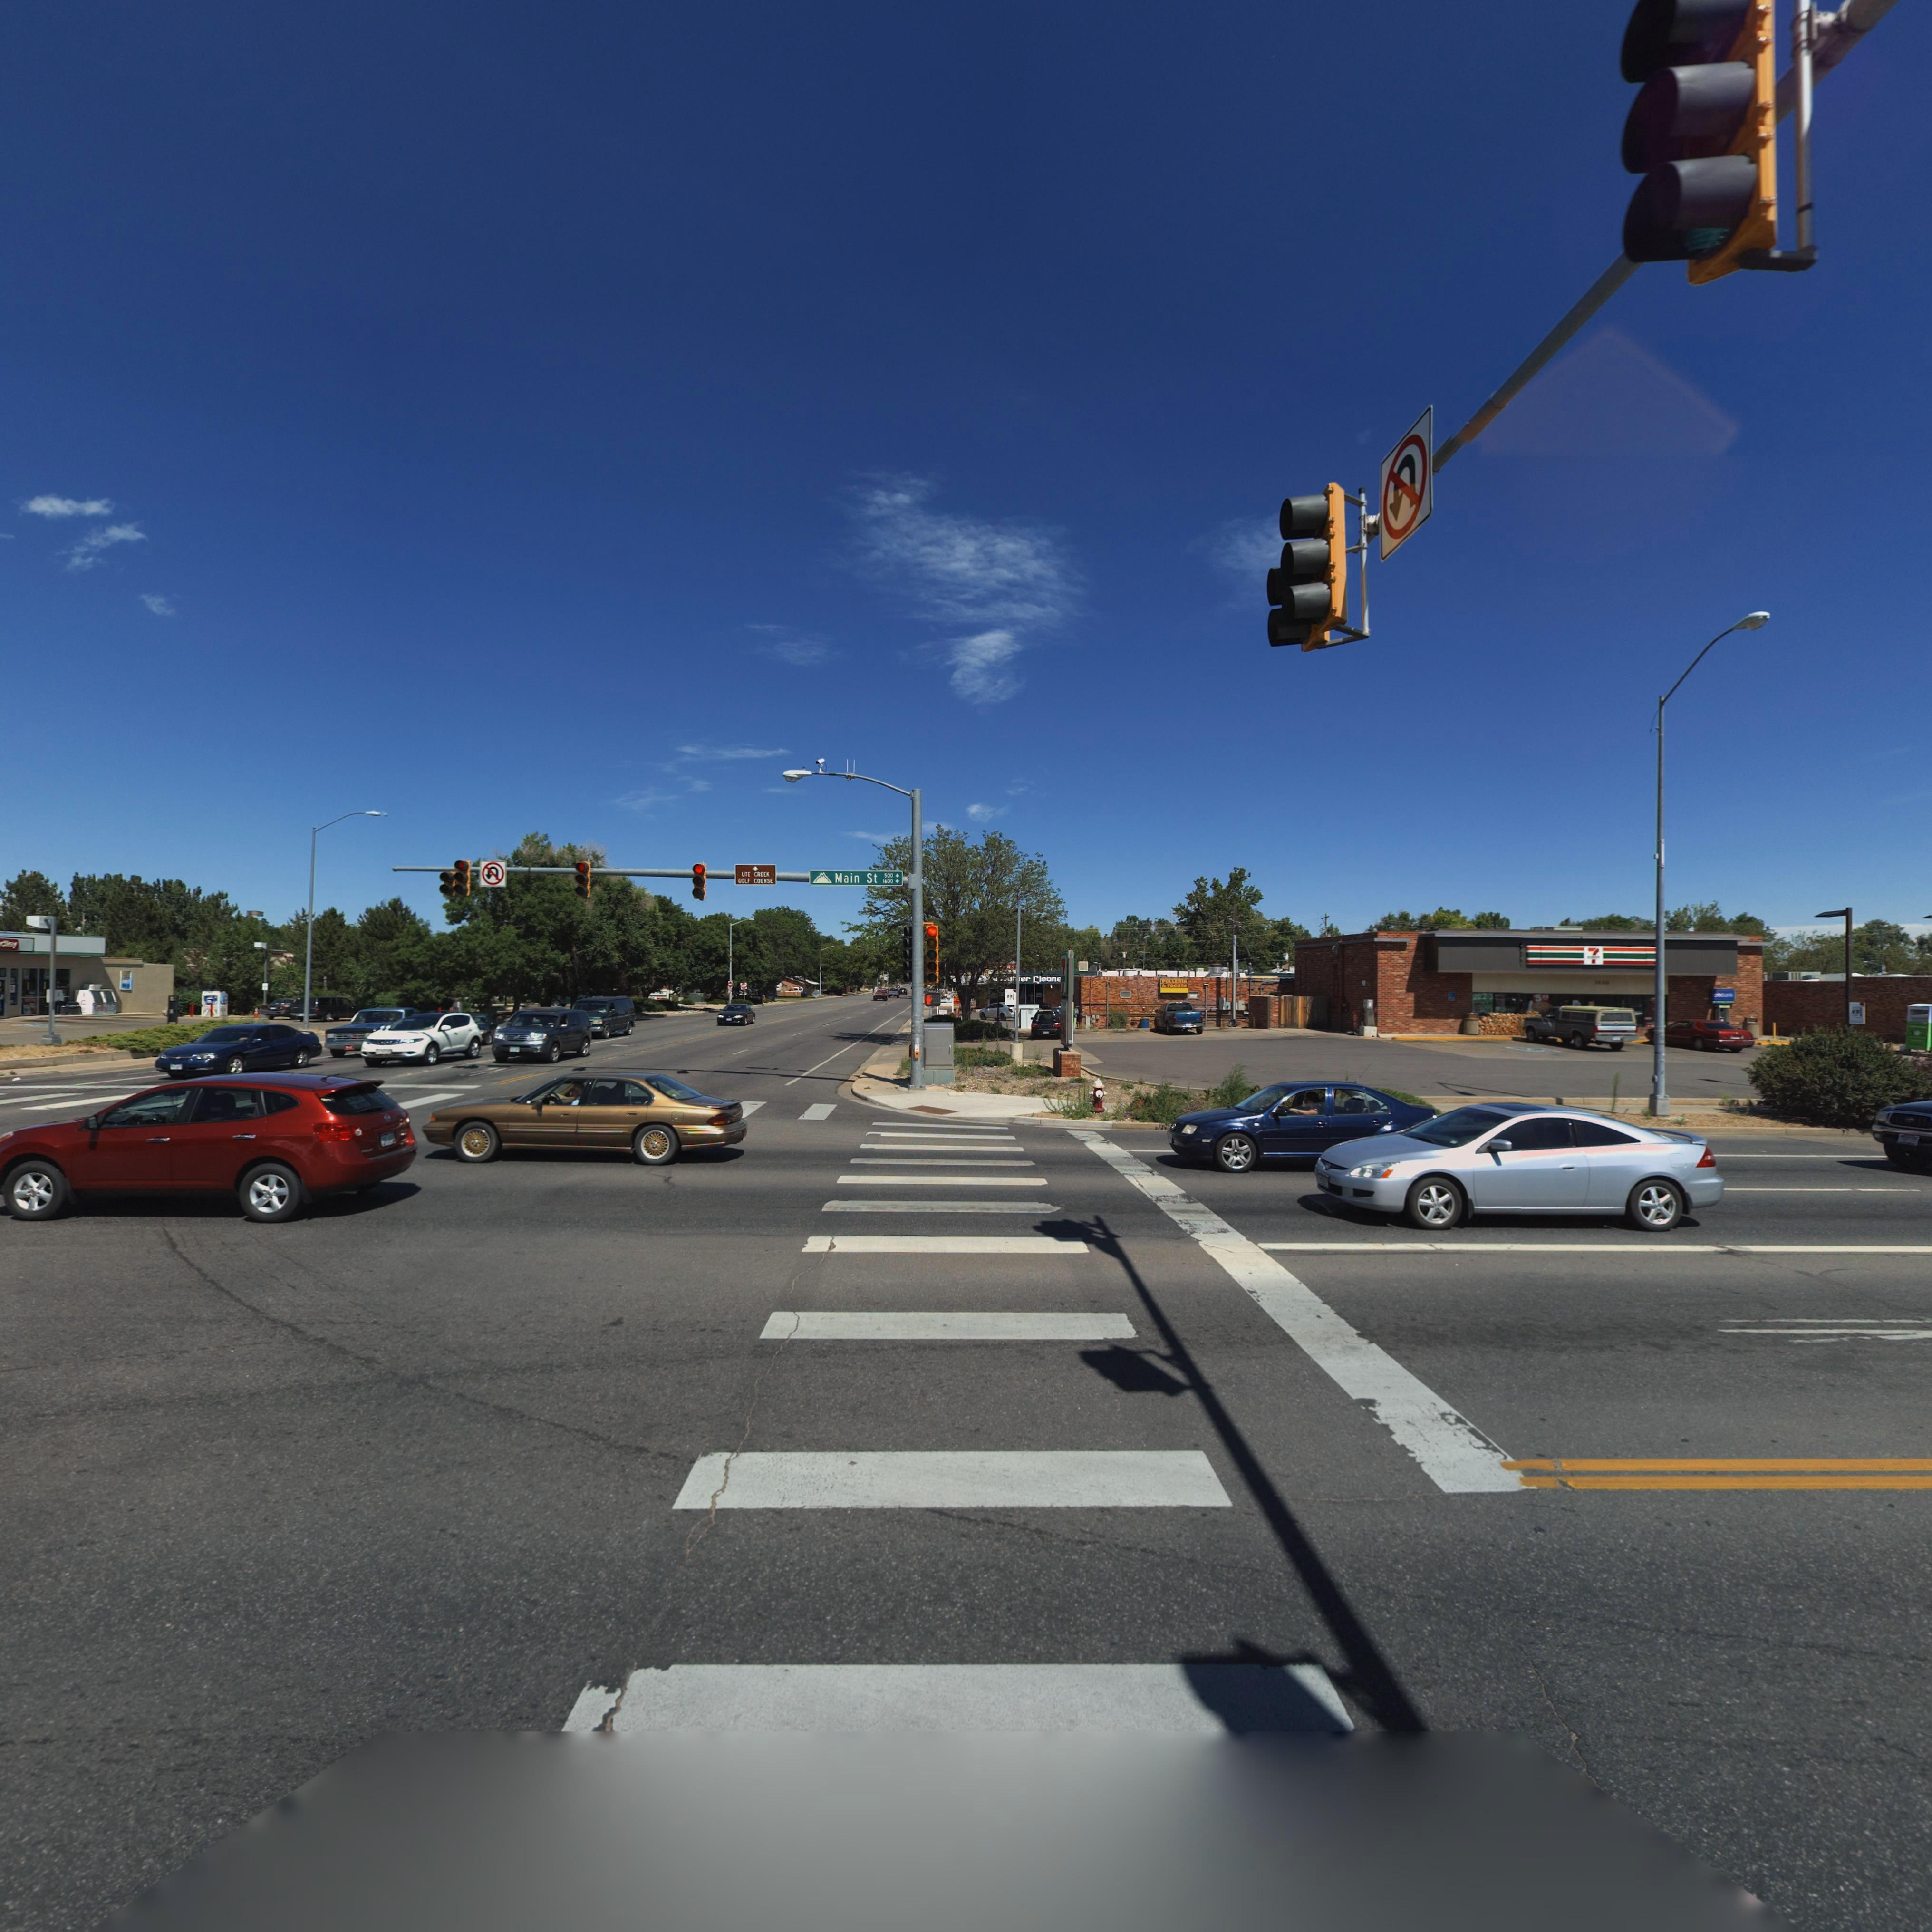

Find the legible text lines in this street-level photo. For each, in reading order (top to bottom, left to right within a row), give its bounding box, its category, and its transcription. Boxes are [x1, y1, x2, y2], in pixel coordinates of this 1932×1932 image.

[834, 872, 878, 884] StreetName: Main St
[884, 872, 893, 878] StreetNumberRange: 500
[882, 878, 899, 883] StreetNumberRange: 1600 ->
[0, 940, 18, 949] BusinessName: dley
[1587, 947, 1599, 964] BusinessName: 7
[1020, 976, 1031, 982] BusinessName: er
[1033, 975, 1061, 984] BusinessName: Cleane
[1061, 958, 1065, 993] StreetNumber: 7
[1162, 979, 1187, 983] BusinessName: POLLERIA
[1162, 984, 1187, 987] BusinessName: * FO*ATA